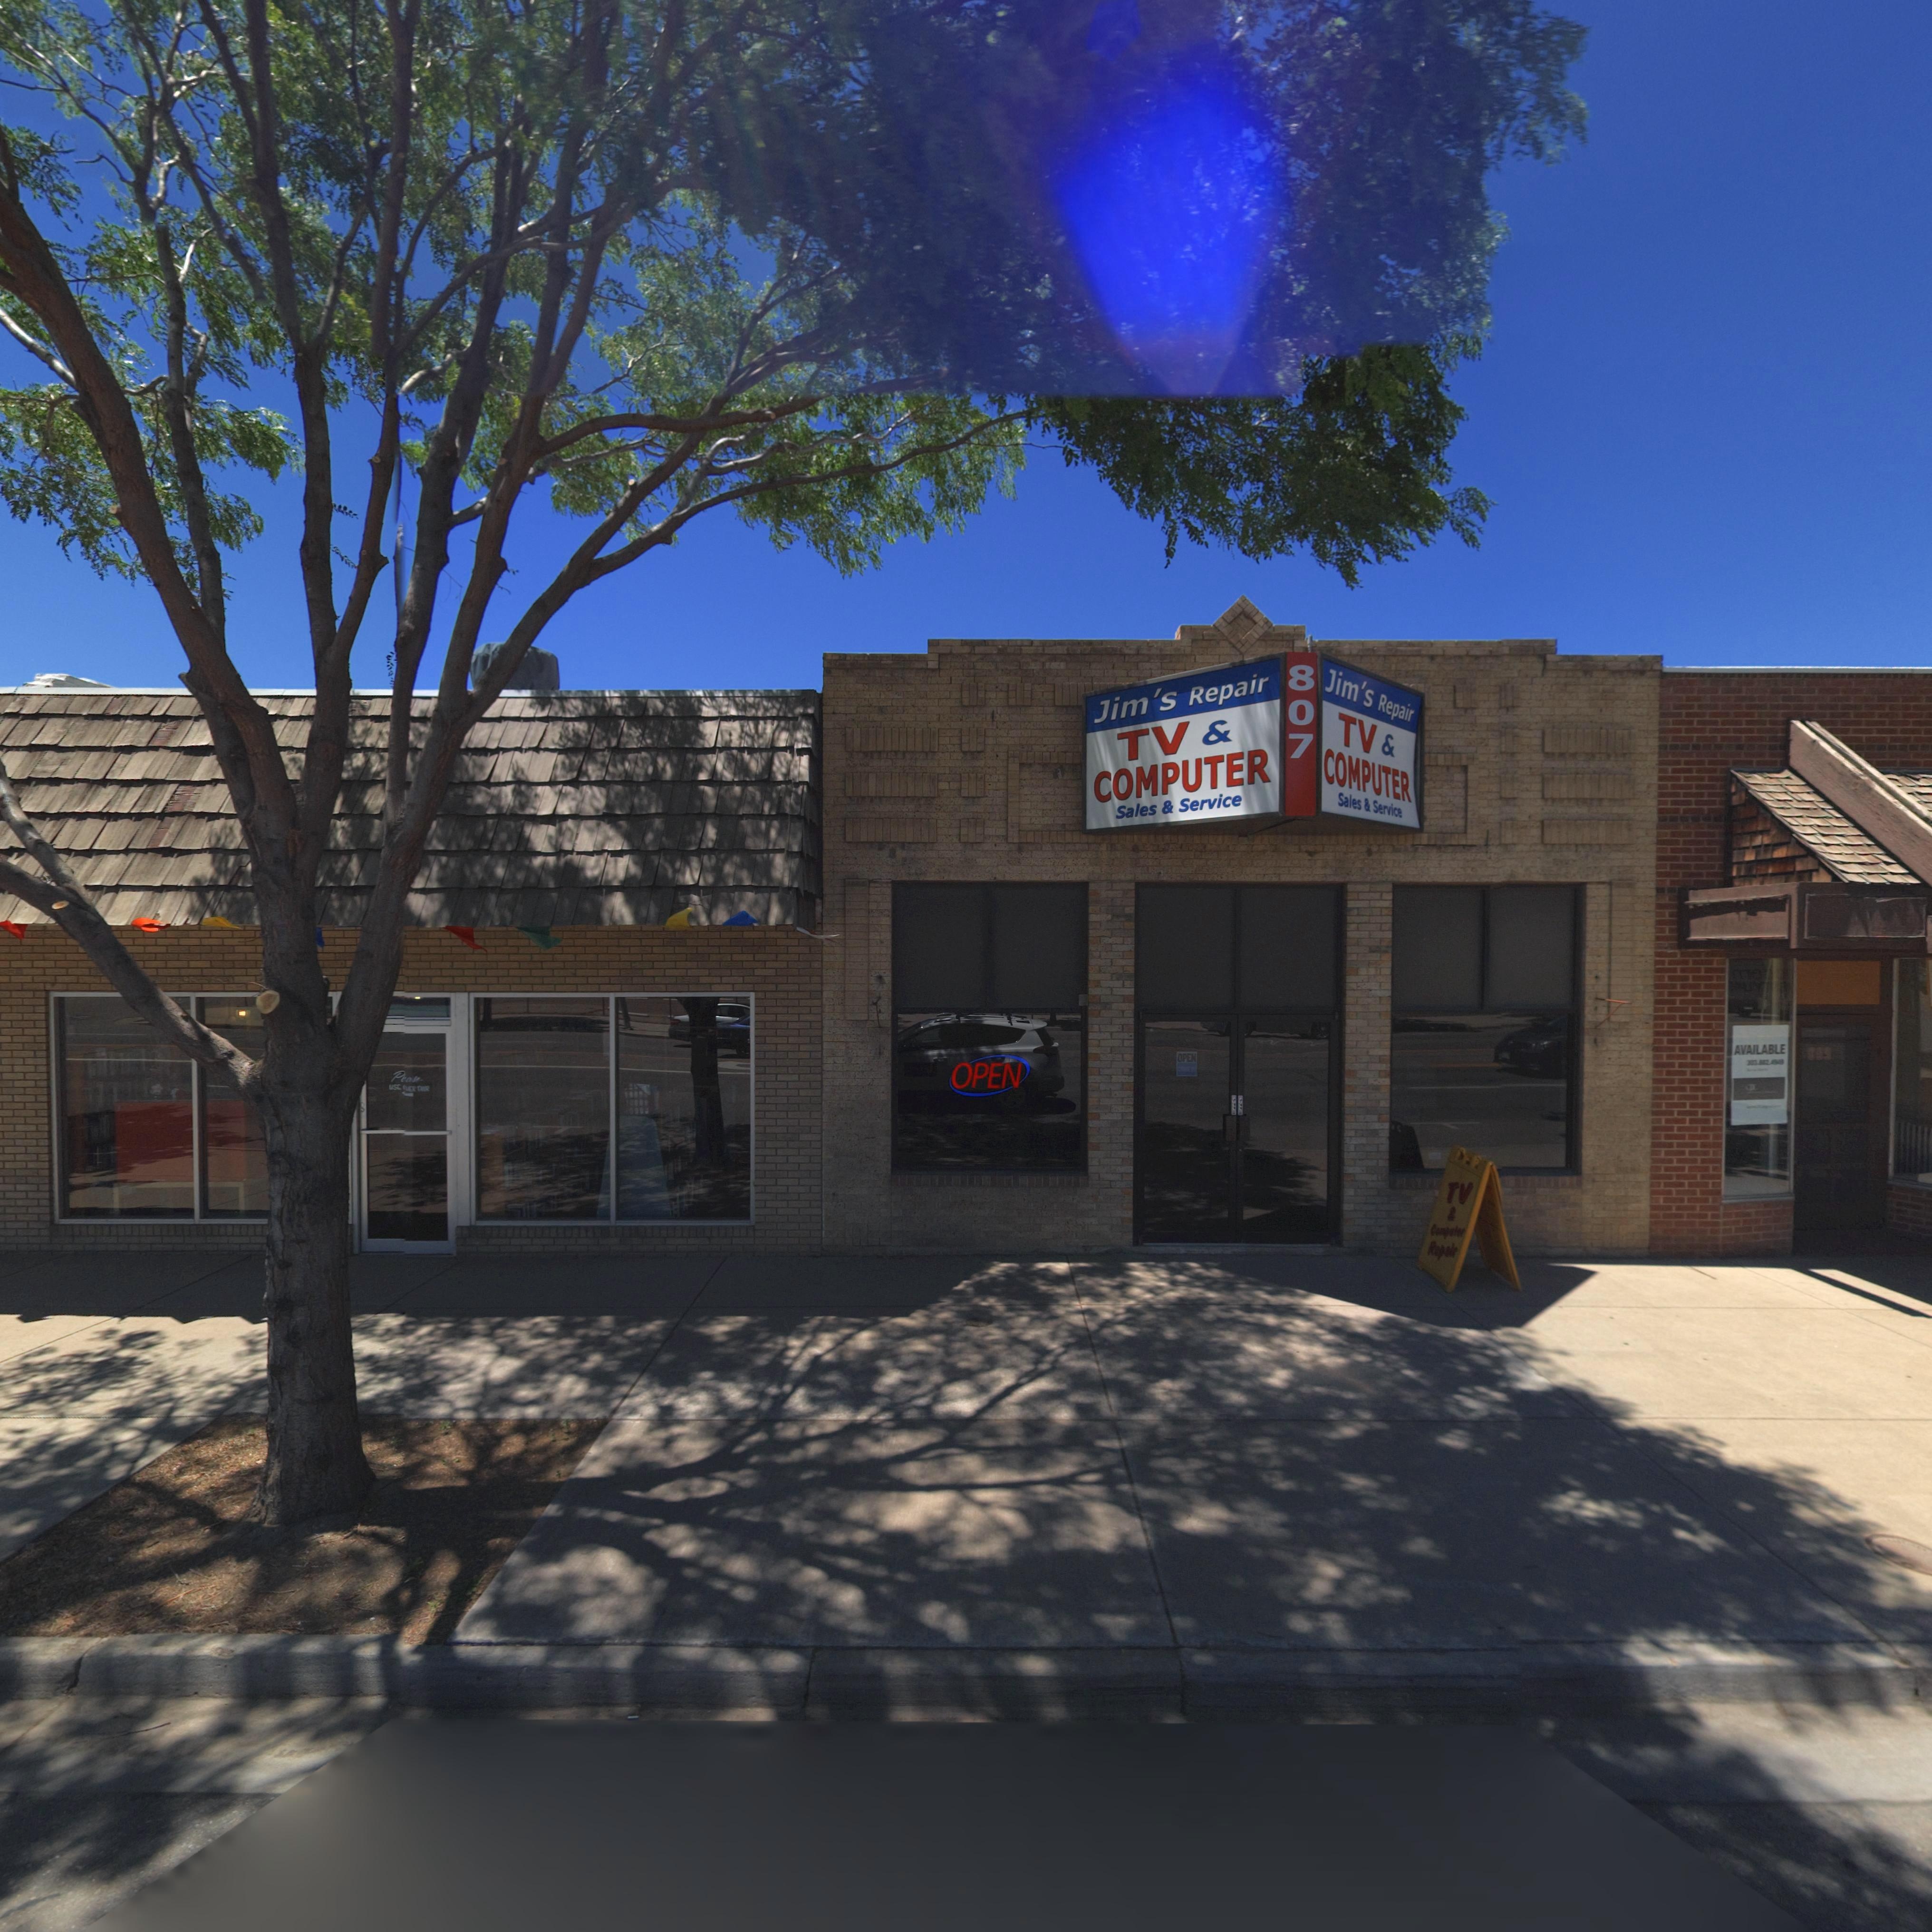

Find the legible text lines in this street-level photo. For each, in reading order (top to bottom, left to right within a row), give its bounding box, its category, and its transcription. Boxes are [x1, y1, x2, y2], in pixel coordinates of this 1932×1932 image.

[1093, 673, 1269, 724] BusinessName: Jim's Repair
[1287, 664, 1314, 759] StreetNumber: 807
[1324, 668, 1415, 722] BusinessName: Jim's Repair
[1117, 720, 1233, 762] BusinessName: TV &
[1338, 712, 1394, 757] BusinessName: TV &
[1093, 748, 1271, 803] BusinessName: COMPUTER
[1323, 748, 1411, 802] BusinessName: COMPUTER
[1806, 1046, 1833, 1061] StreetNumber: 809
[1426, 1240, 1458, 1261] BusinessName: Repair
[1430, 1223, 1466, 1240] BusinessName: Computer
[1447, 1206, 1456, 1222] BusinessName: &
[1446, 1181, 1474, 1205] BusinessName: TV